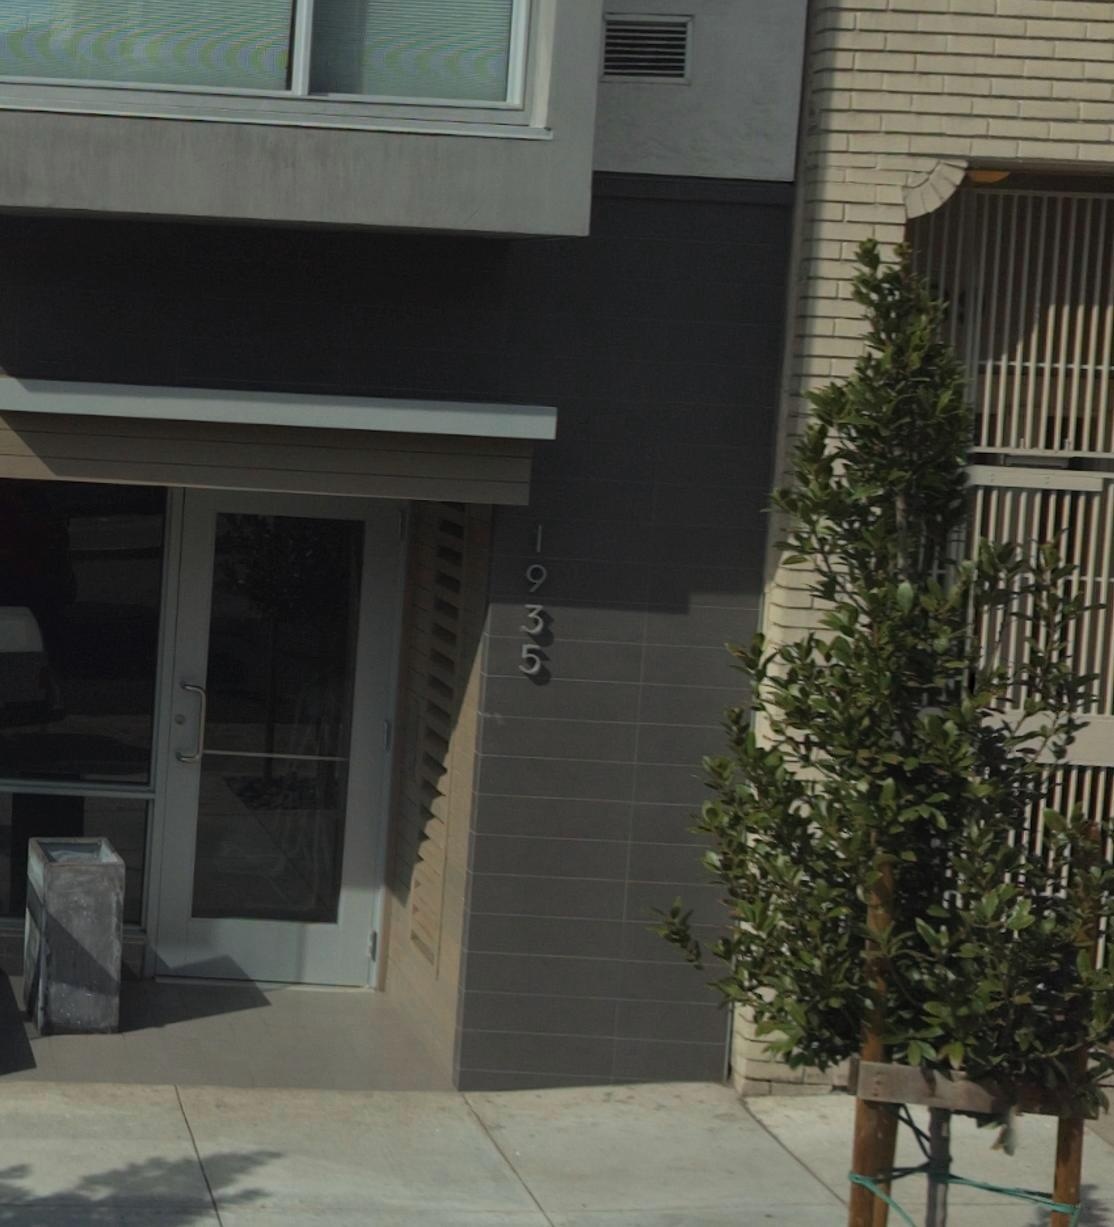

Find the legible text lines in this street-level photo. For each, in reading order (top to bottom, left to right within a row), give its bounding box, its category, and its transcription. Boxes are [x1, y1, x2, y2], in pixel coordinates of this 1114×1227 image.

[515, 521, 550, 679] StreetNumber: 1935